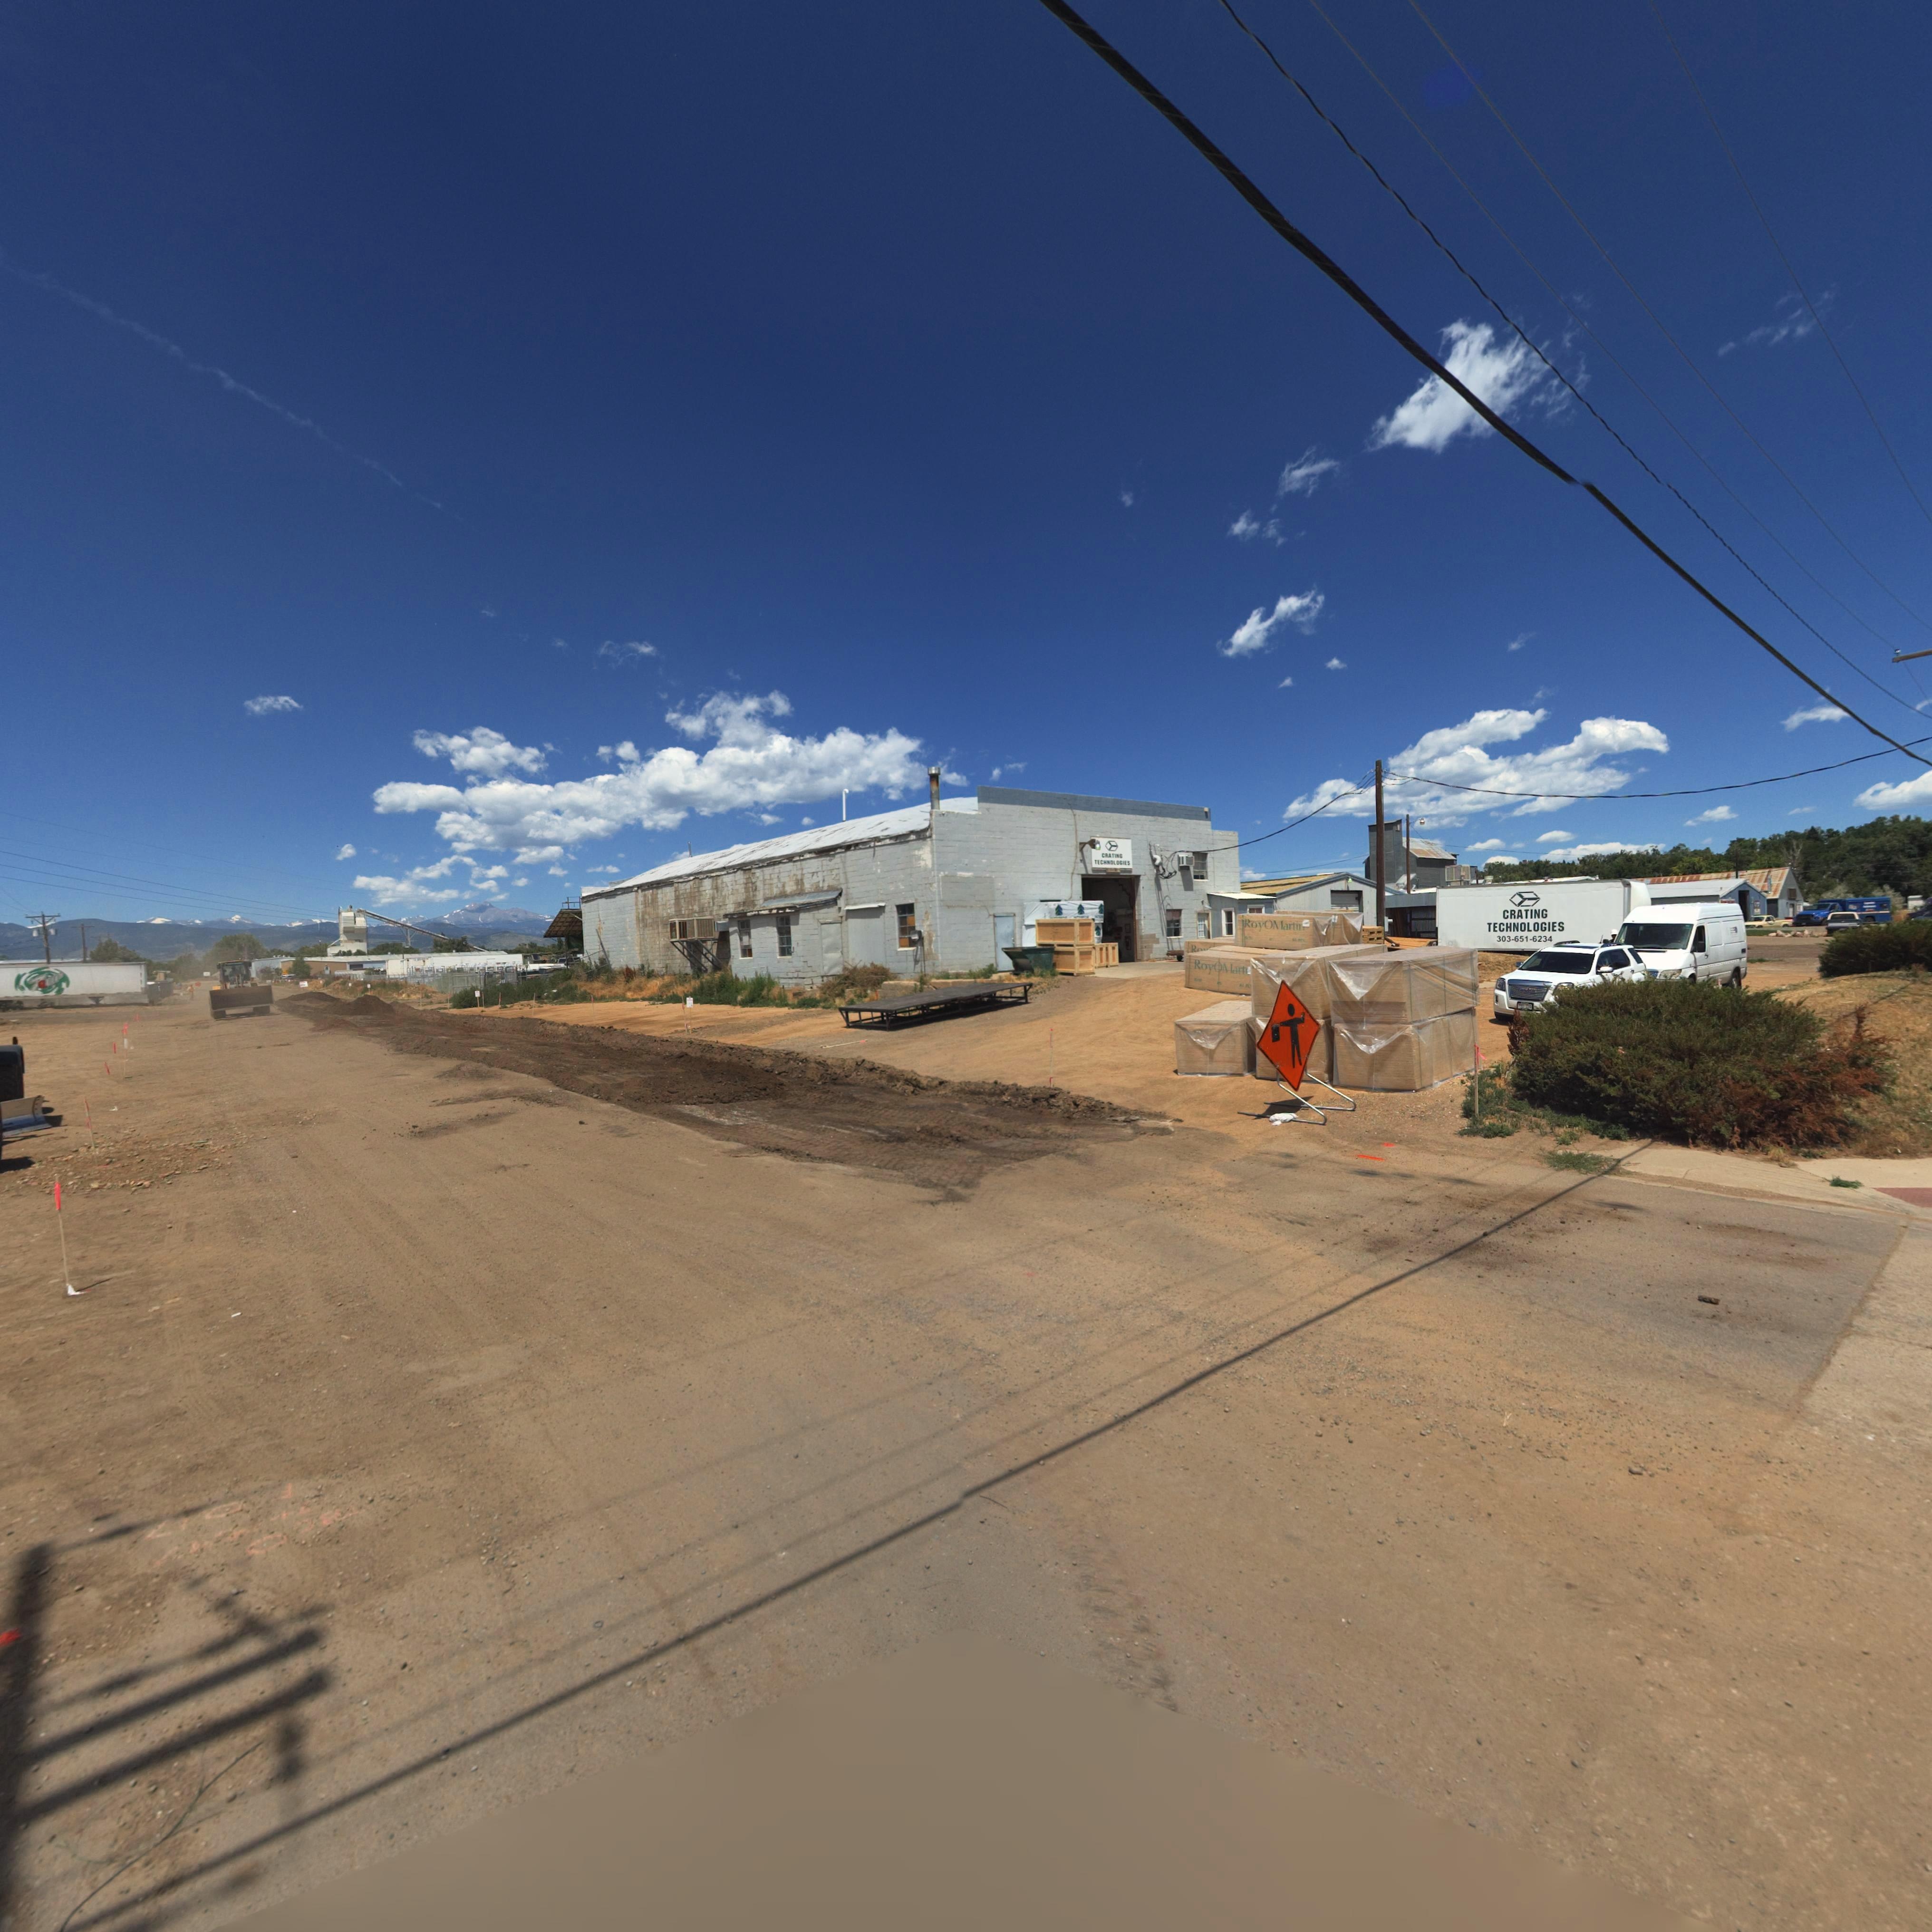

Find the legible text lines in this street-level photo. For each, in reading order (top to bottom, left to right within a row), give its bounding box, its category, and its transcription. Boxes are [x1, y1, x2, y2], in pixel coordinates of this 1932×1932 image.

[1101, 852, 1123, 859] BusinessName: CRATING
[1094, 859, 1130, 866] BusinessName: TECHNOLOGIES